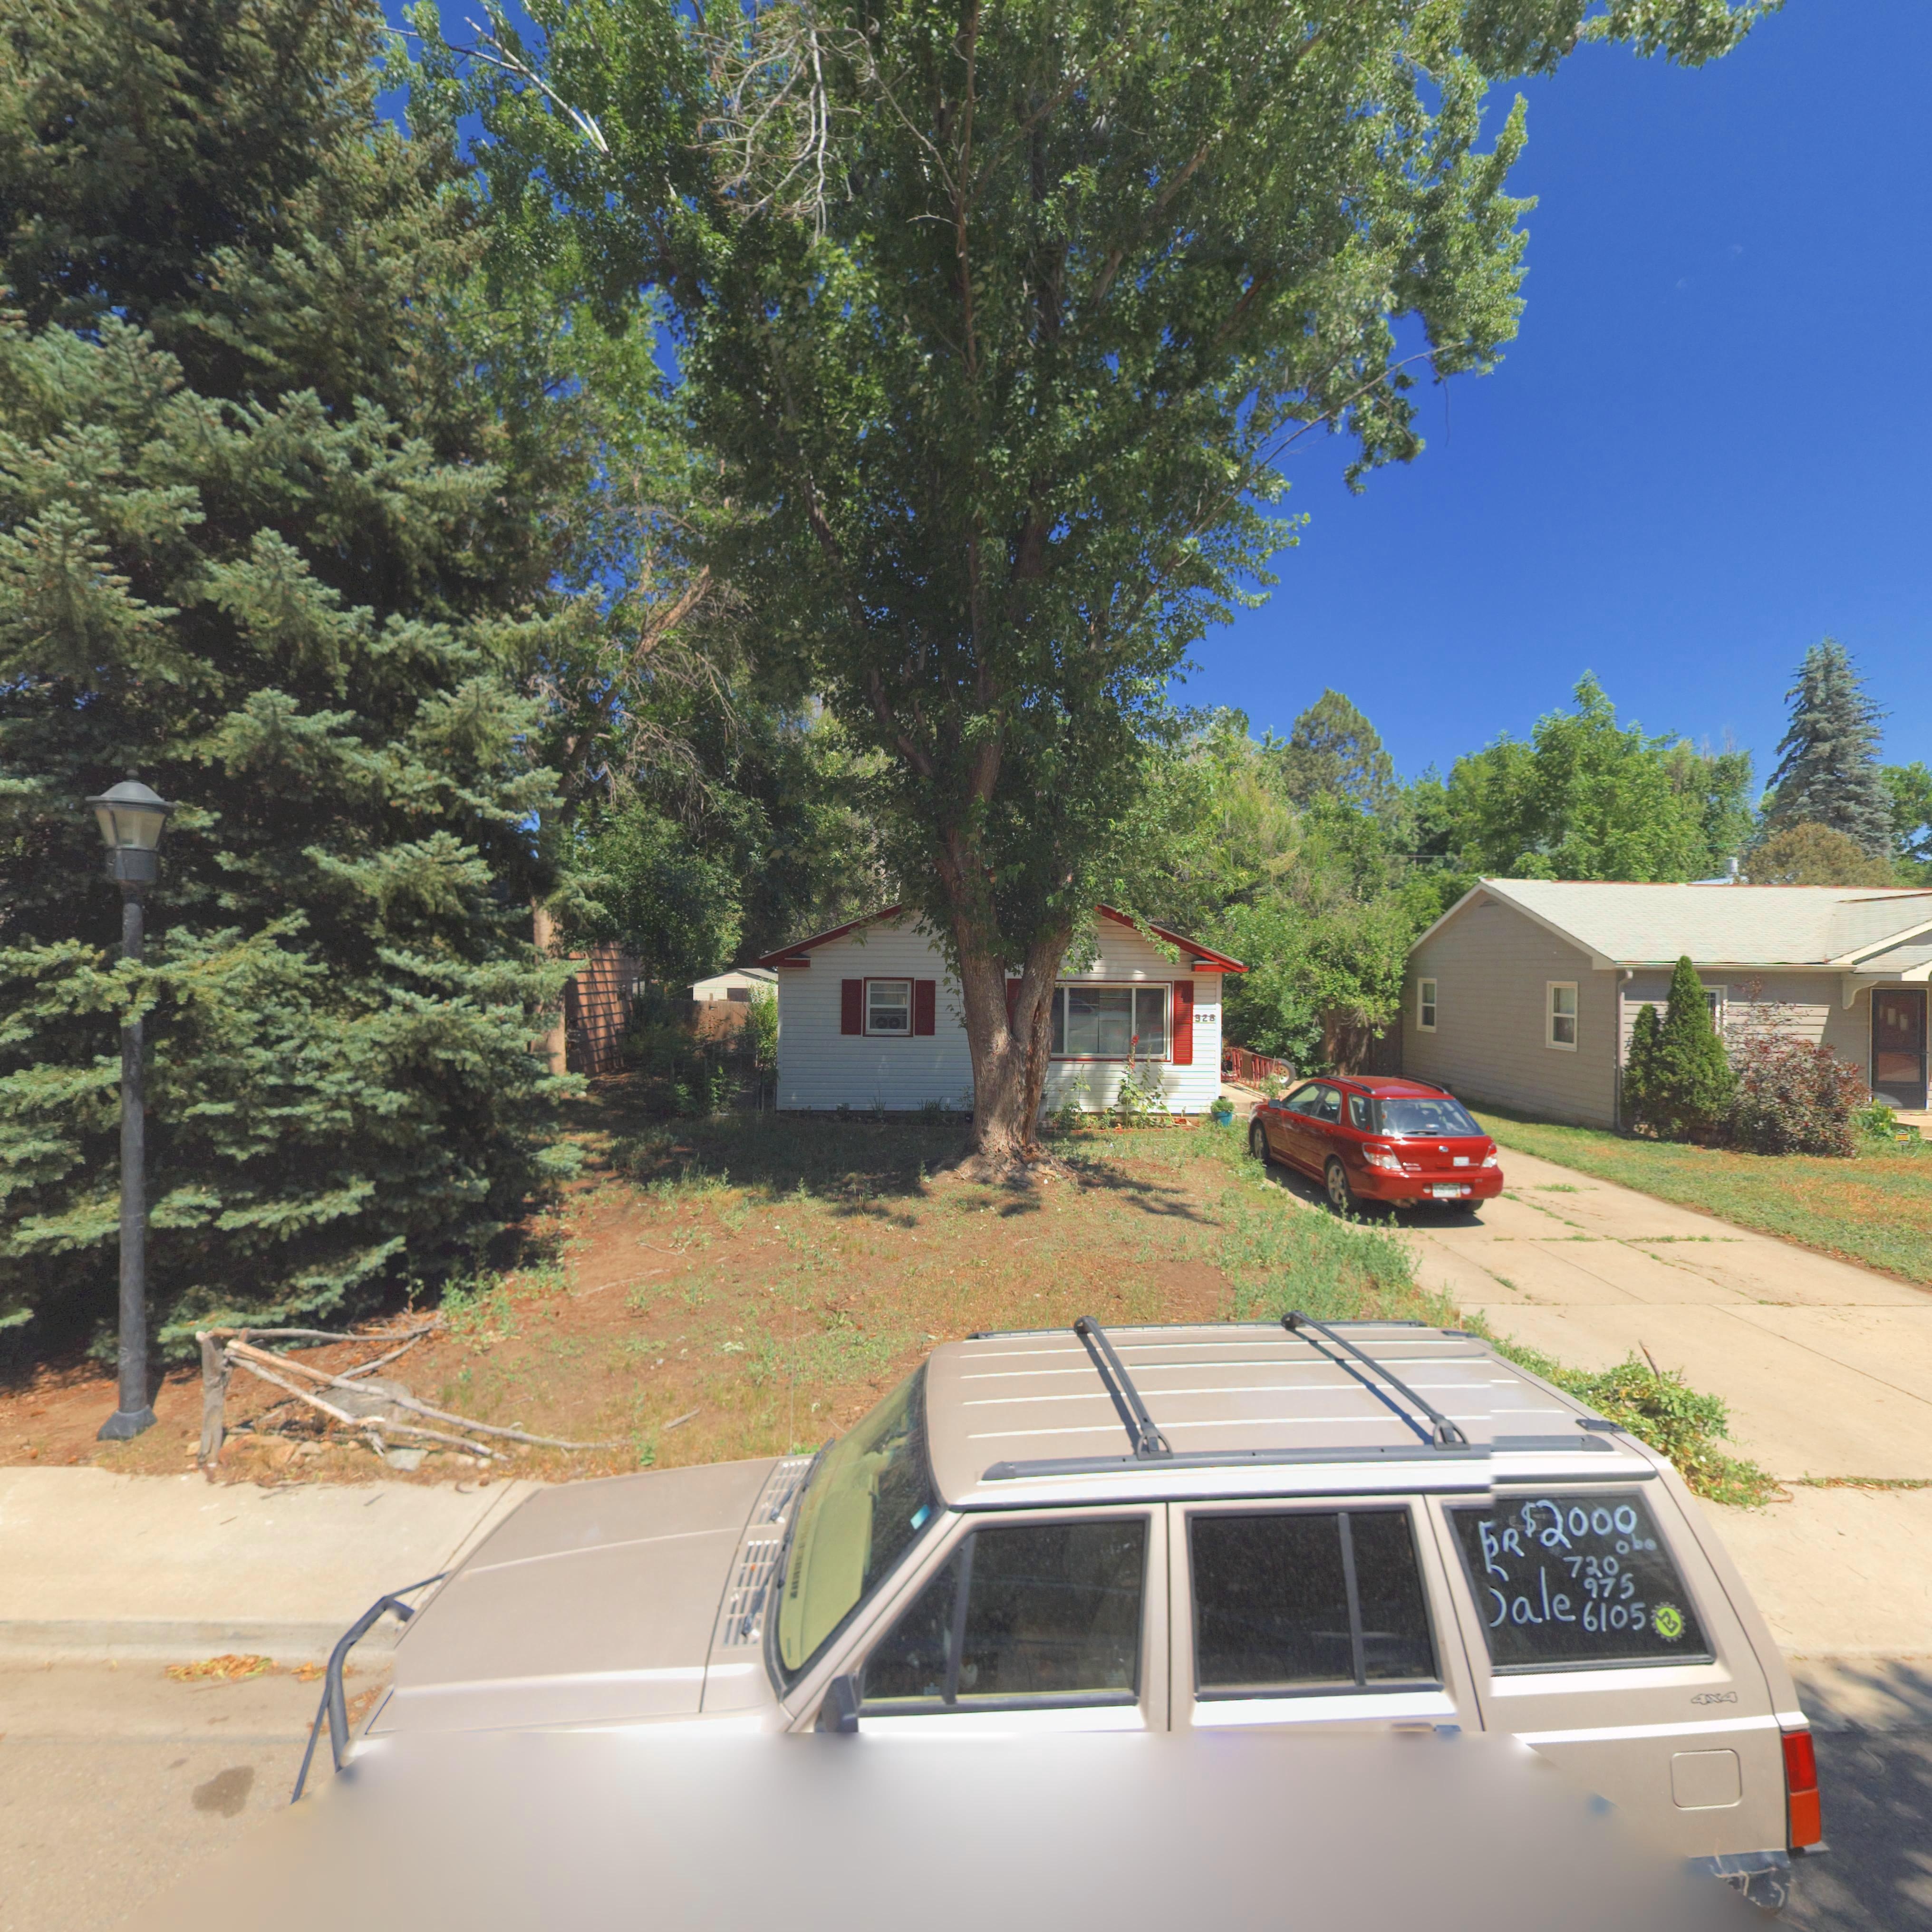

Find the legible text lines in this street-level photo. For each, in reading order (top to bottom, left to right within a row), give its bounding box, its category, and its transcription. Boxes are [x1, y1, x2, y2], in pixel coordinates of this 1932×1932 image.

[1195, 1014, 1215, 1022] StreetNumber: 92*